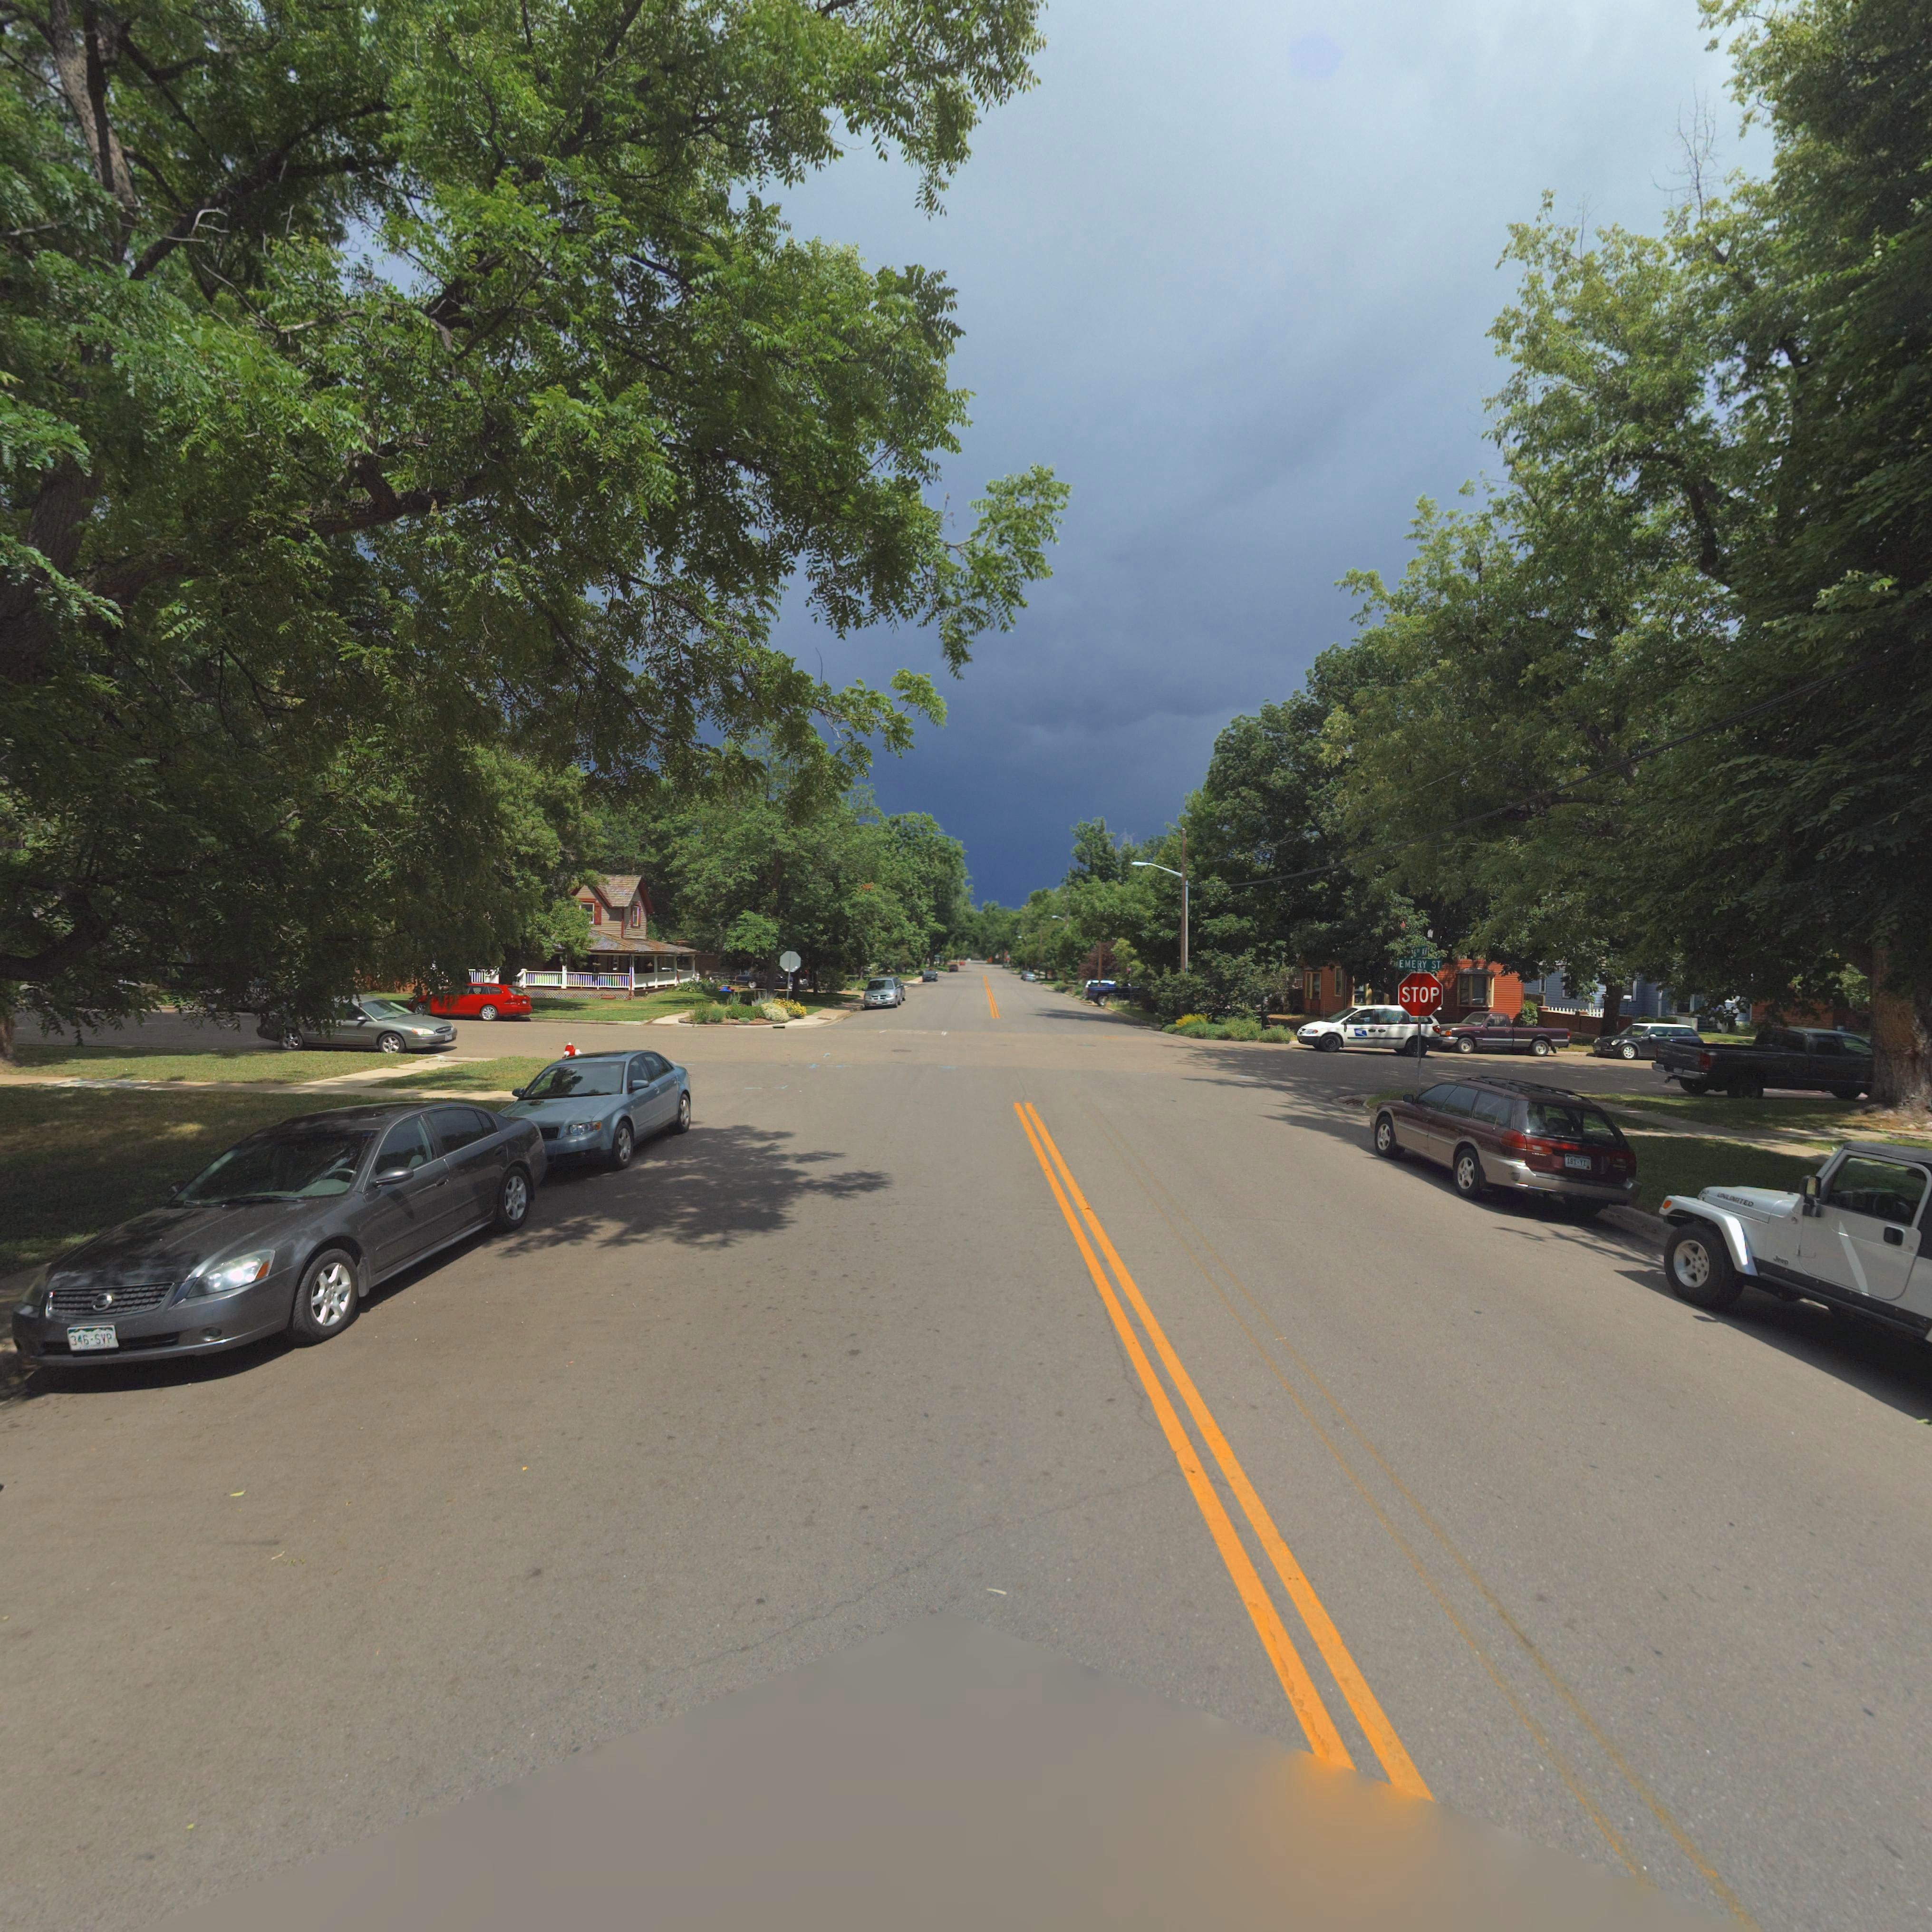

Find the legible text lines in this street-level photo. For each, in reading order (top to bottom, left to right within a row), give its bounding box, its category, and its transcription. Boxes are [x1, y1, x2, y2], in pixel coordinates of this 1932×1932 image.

[1413, 947, 1428, 958] StreetName: 6TH AV
[1398, 959, 1441, 969] StreetName: EMERY ST